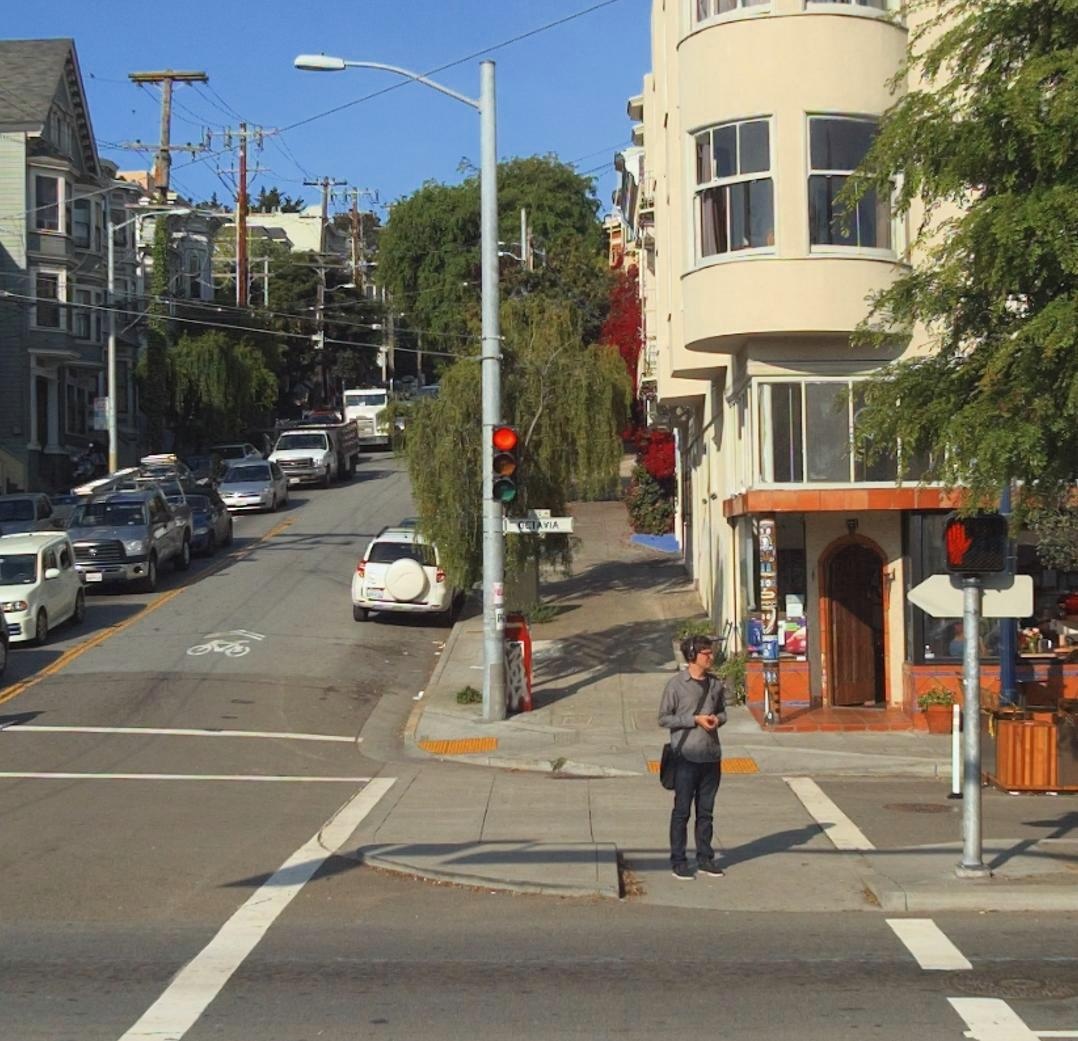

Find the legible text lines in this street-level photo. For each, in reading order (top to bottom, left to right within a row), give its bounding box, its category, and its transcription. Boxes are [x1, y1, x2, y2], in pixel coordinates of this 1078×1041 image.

[514, 520, 559, 531] StreetName: OCTAVIA